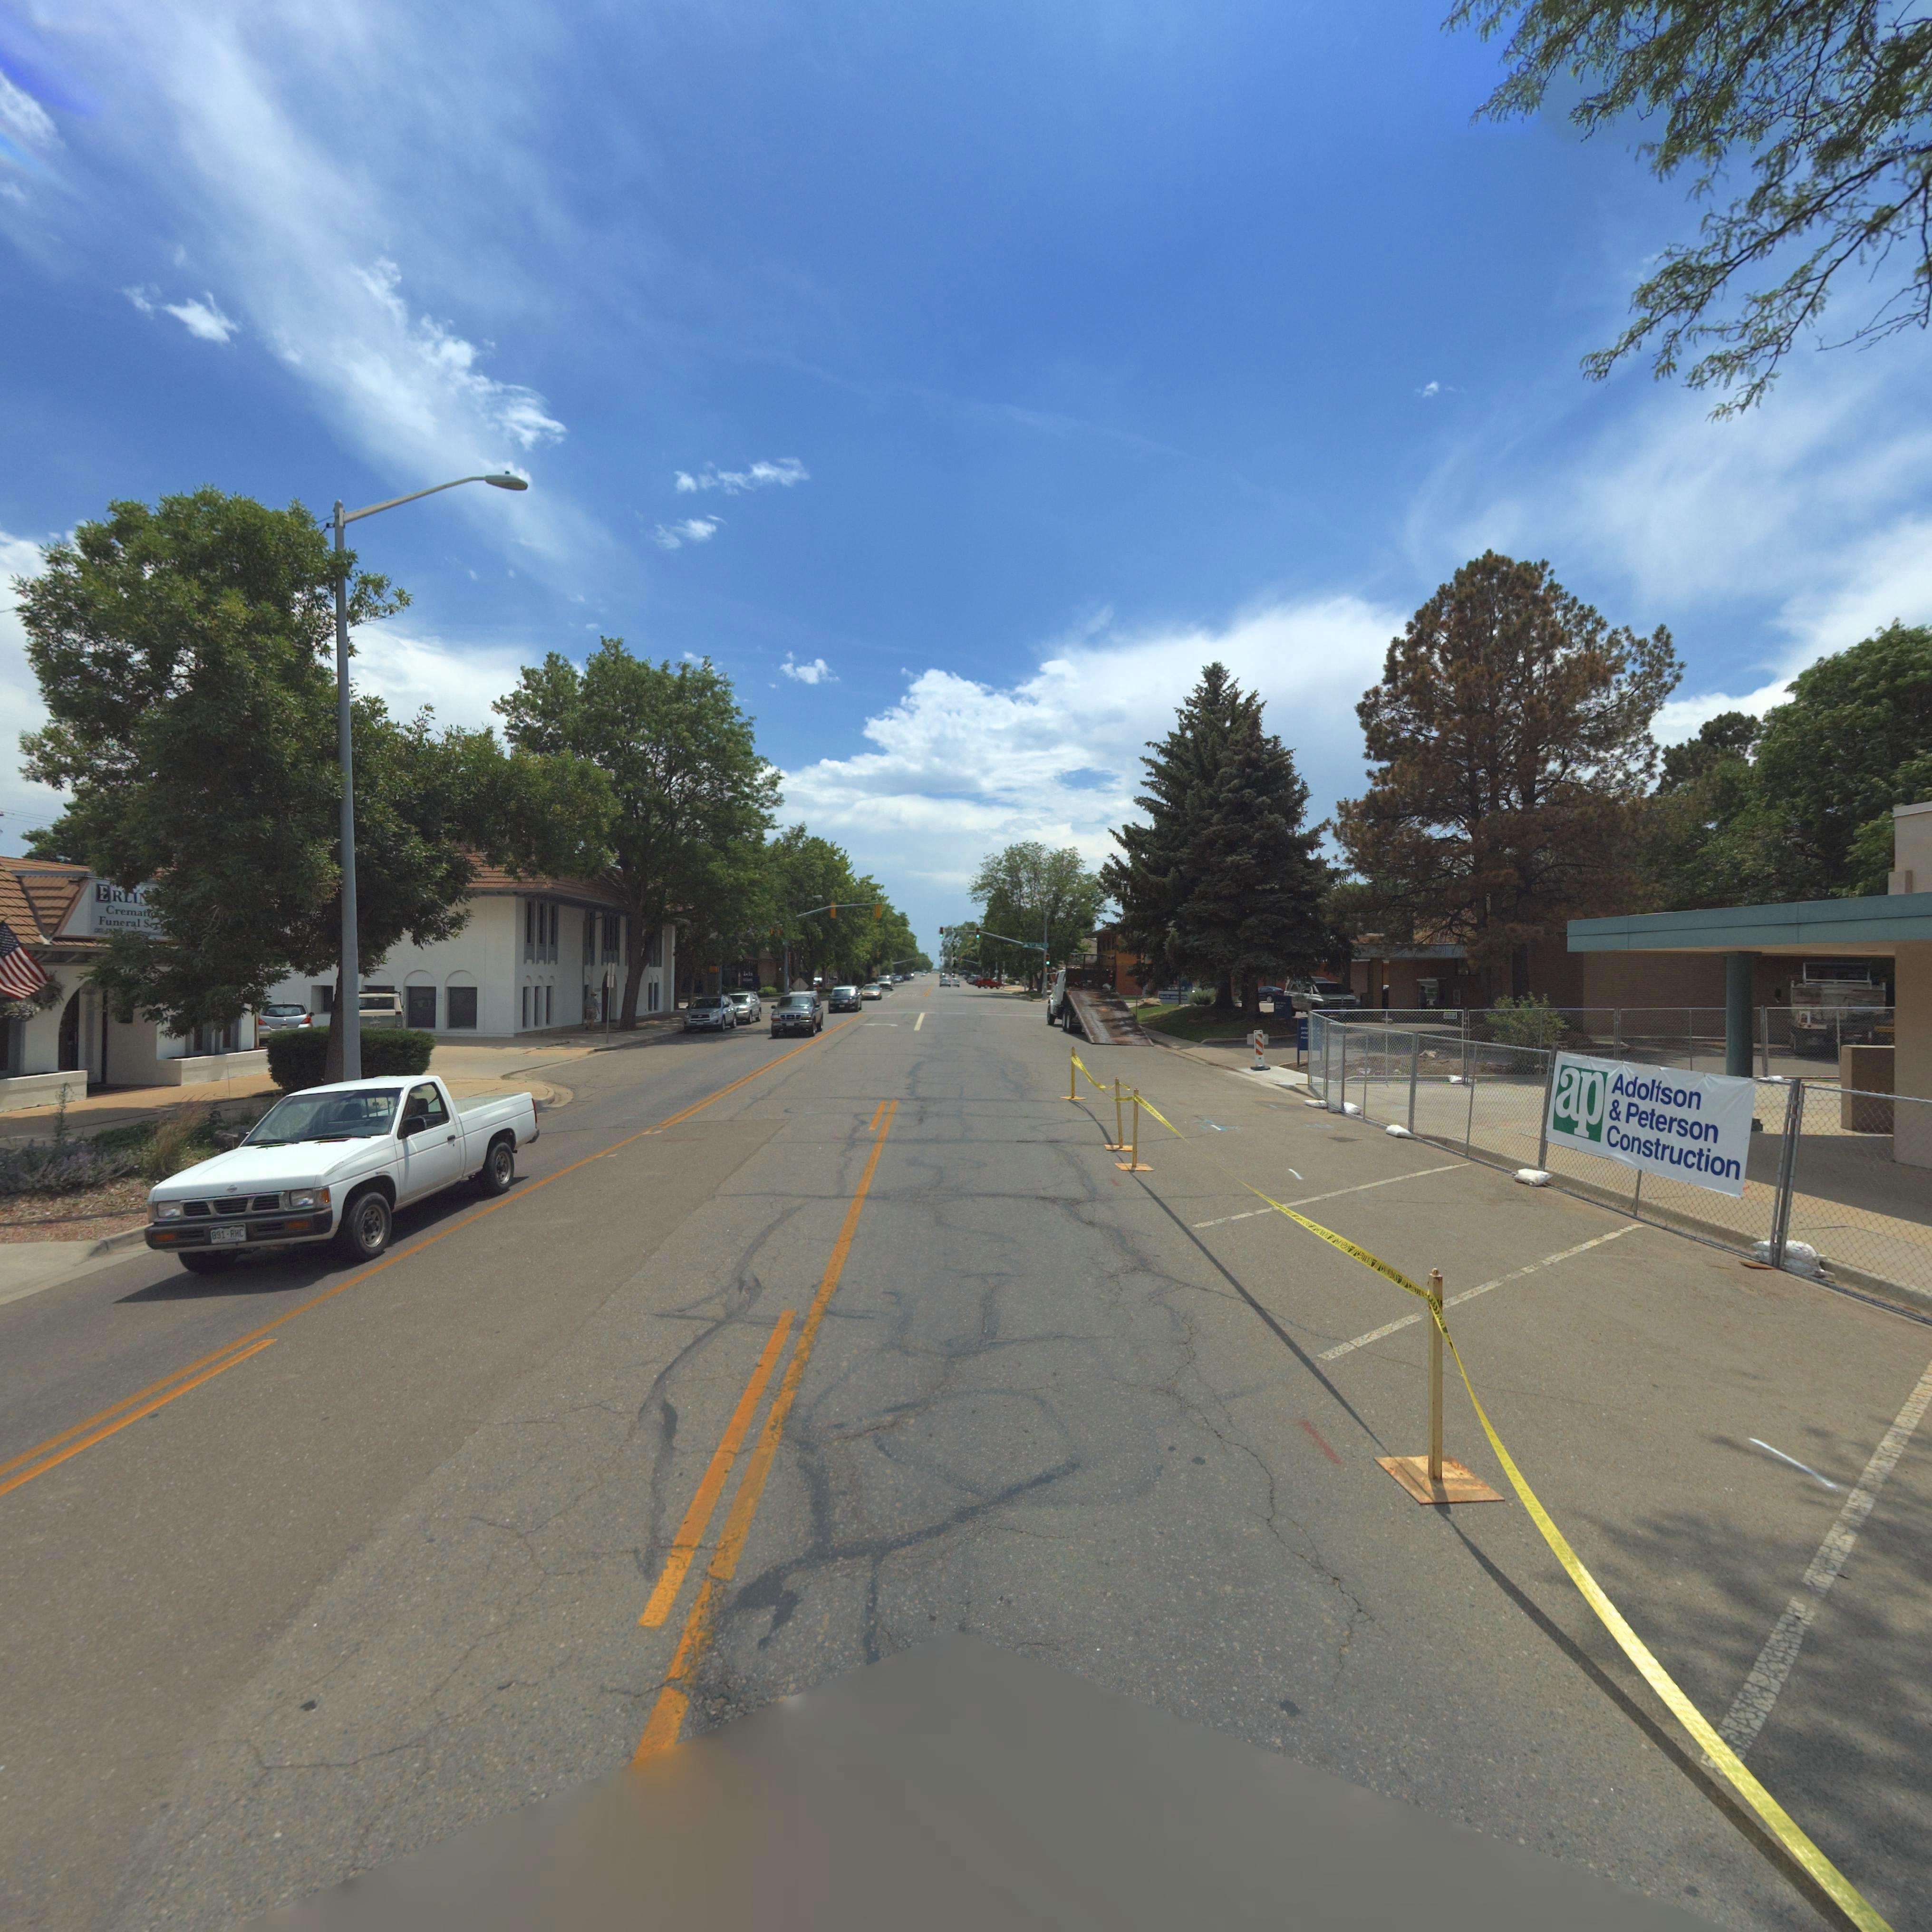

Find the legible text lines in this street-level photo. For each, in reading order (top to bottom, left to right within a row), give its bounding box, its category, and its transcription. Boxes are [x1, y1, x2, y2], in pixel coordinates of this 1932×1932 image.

[99, 885, 164, 906] BusinessName: ERLIN***